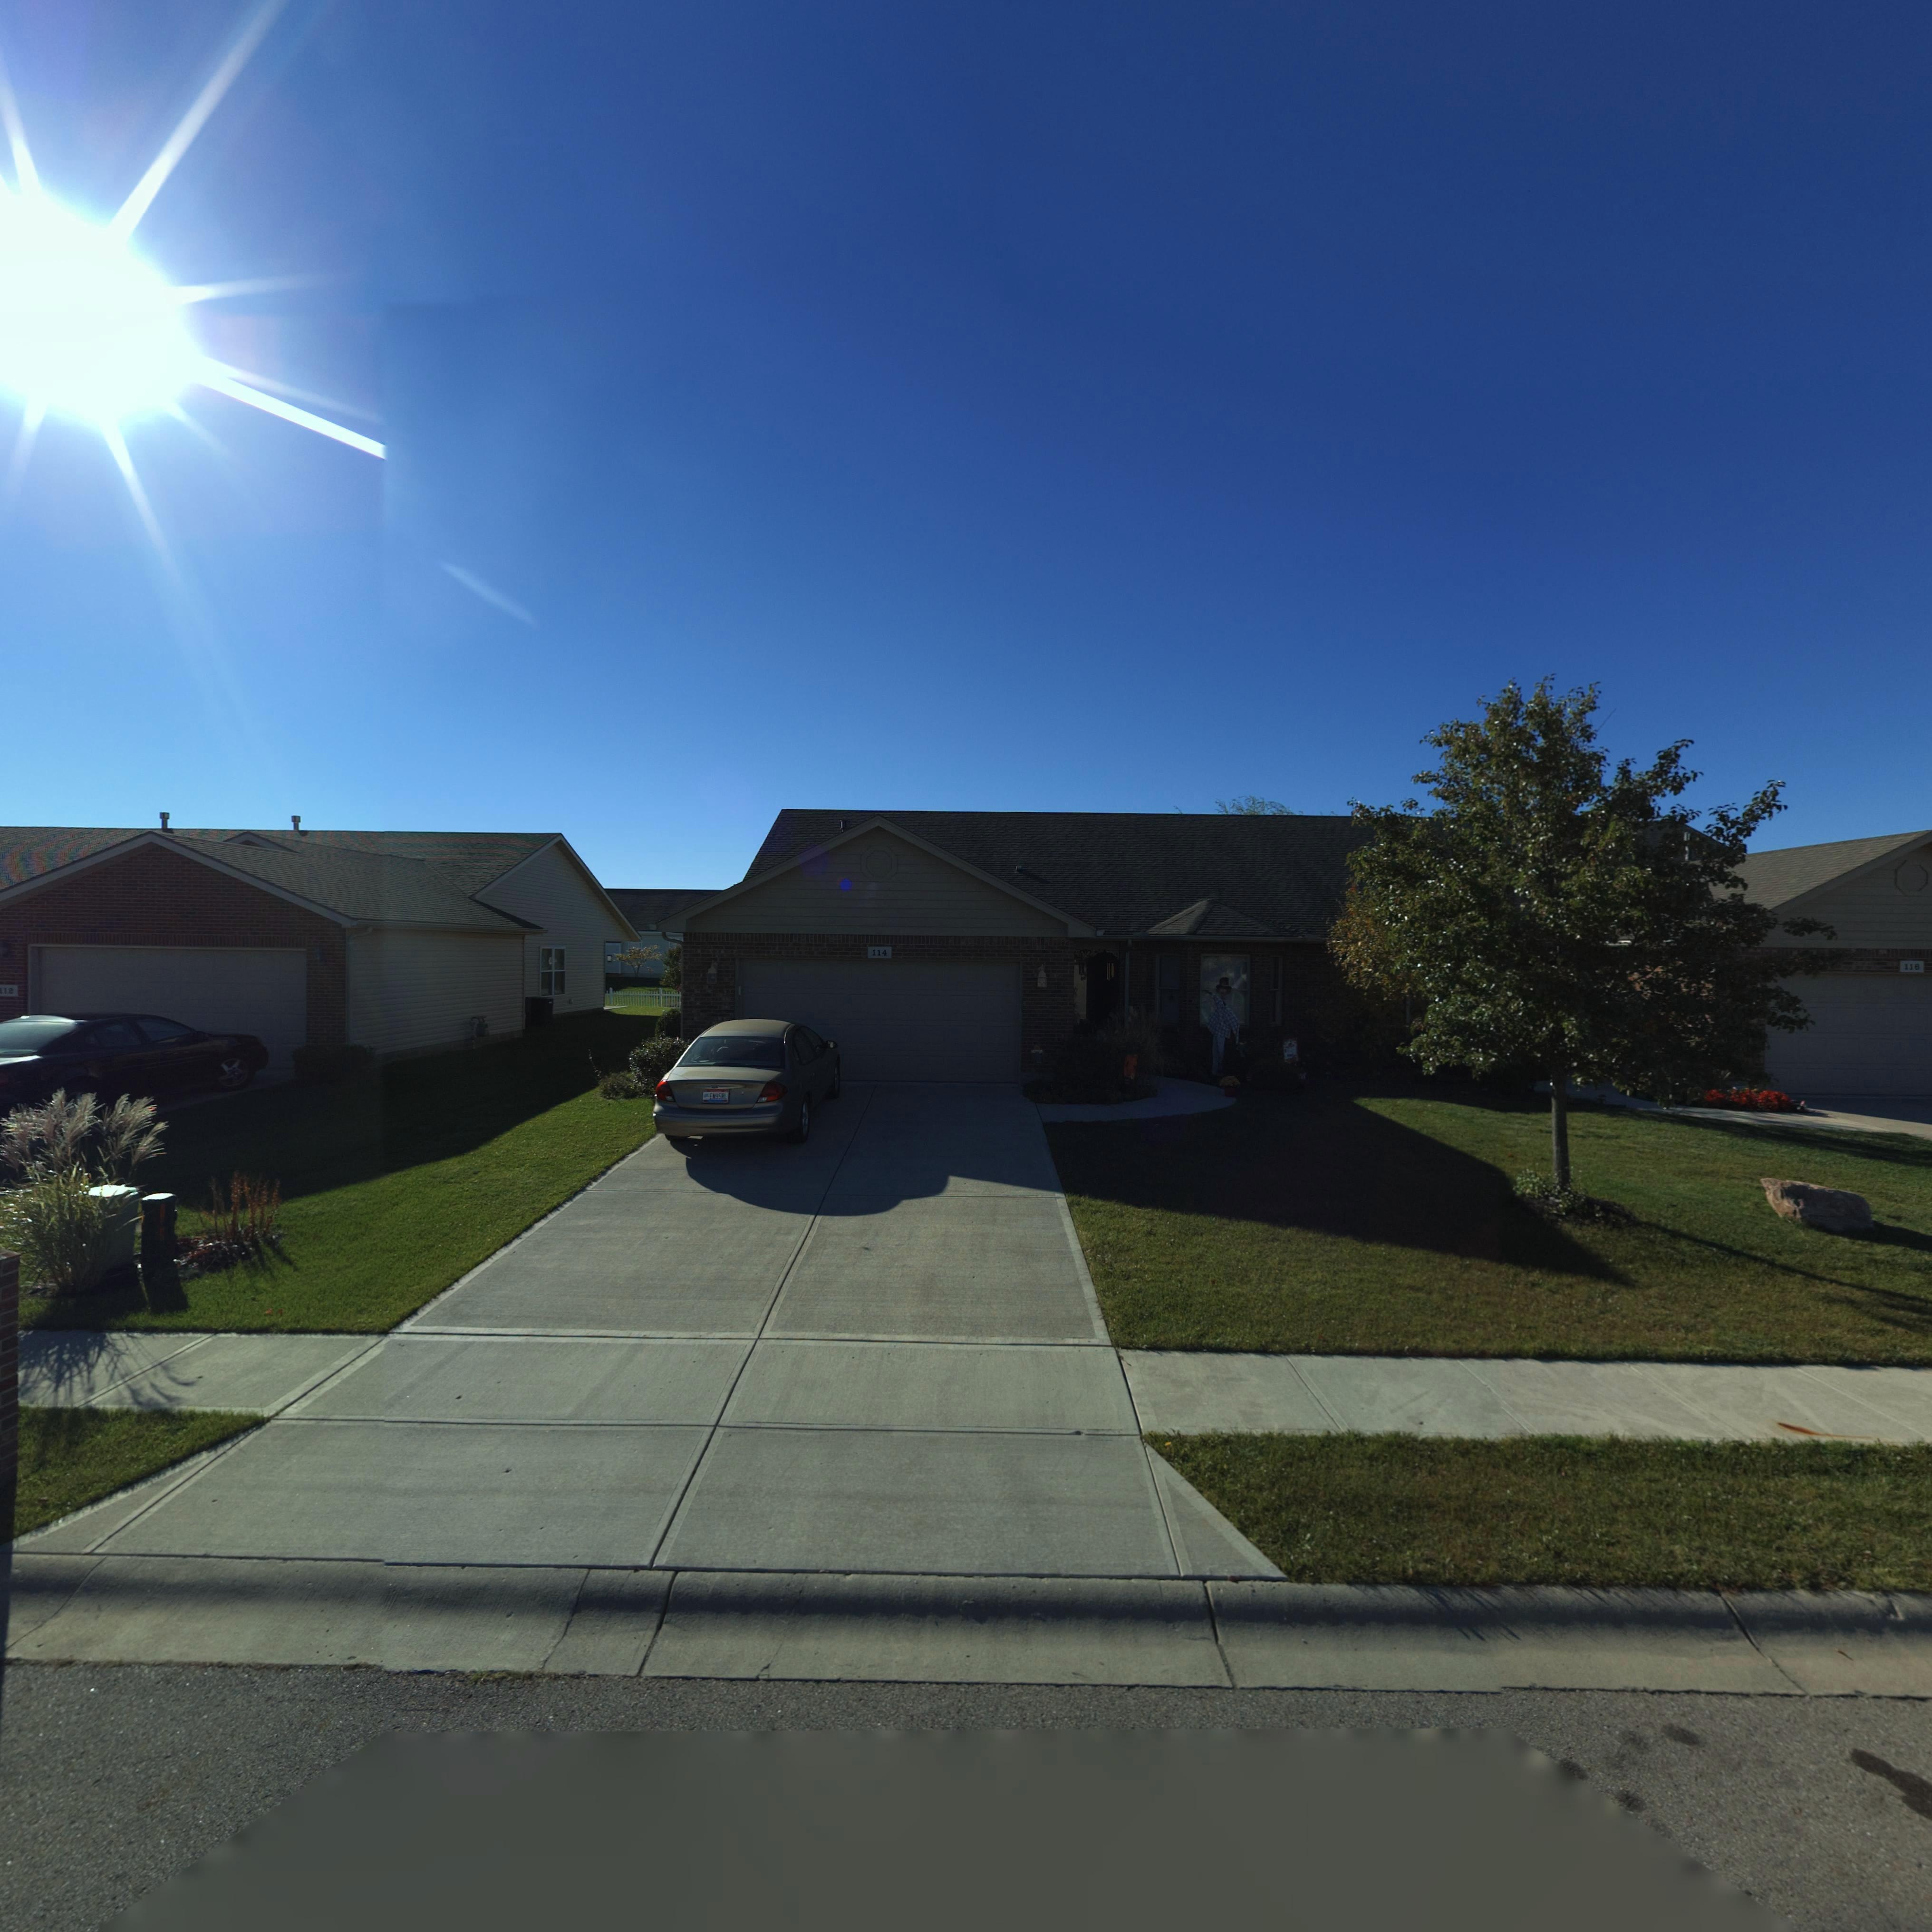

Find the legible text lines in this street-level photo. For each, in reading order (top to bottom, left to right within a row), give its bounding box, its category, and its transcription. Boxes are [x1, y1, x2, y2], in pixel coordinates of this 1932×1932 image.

[872, 948, 888, 956] StreetNumber: 114
[3, 987, 14, 995] StreetNumber: 12